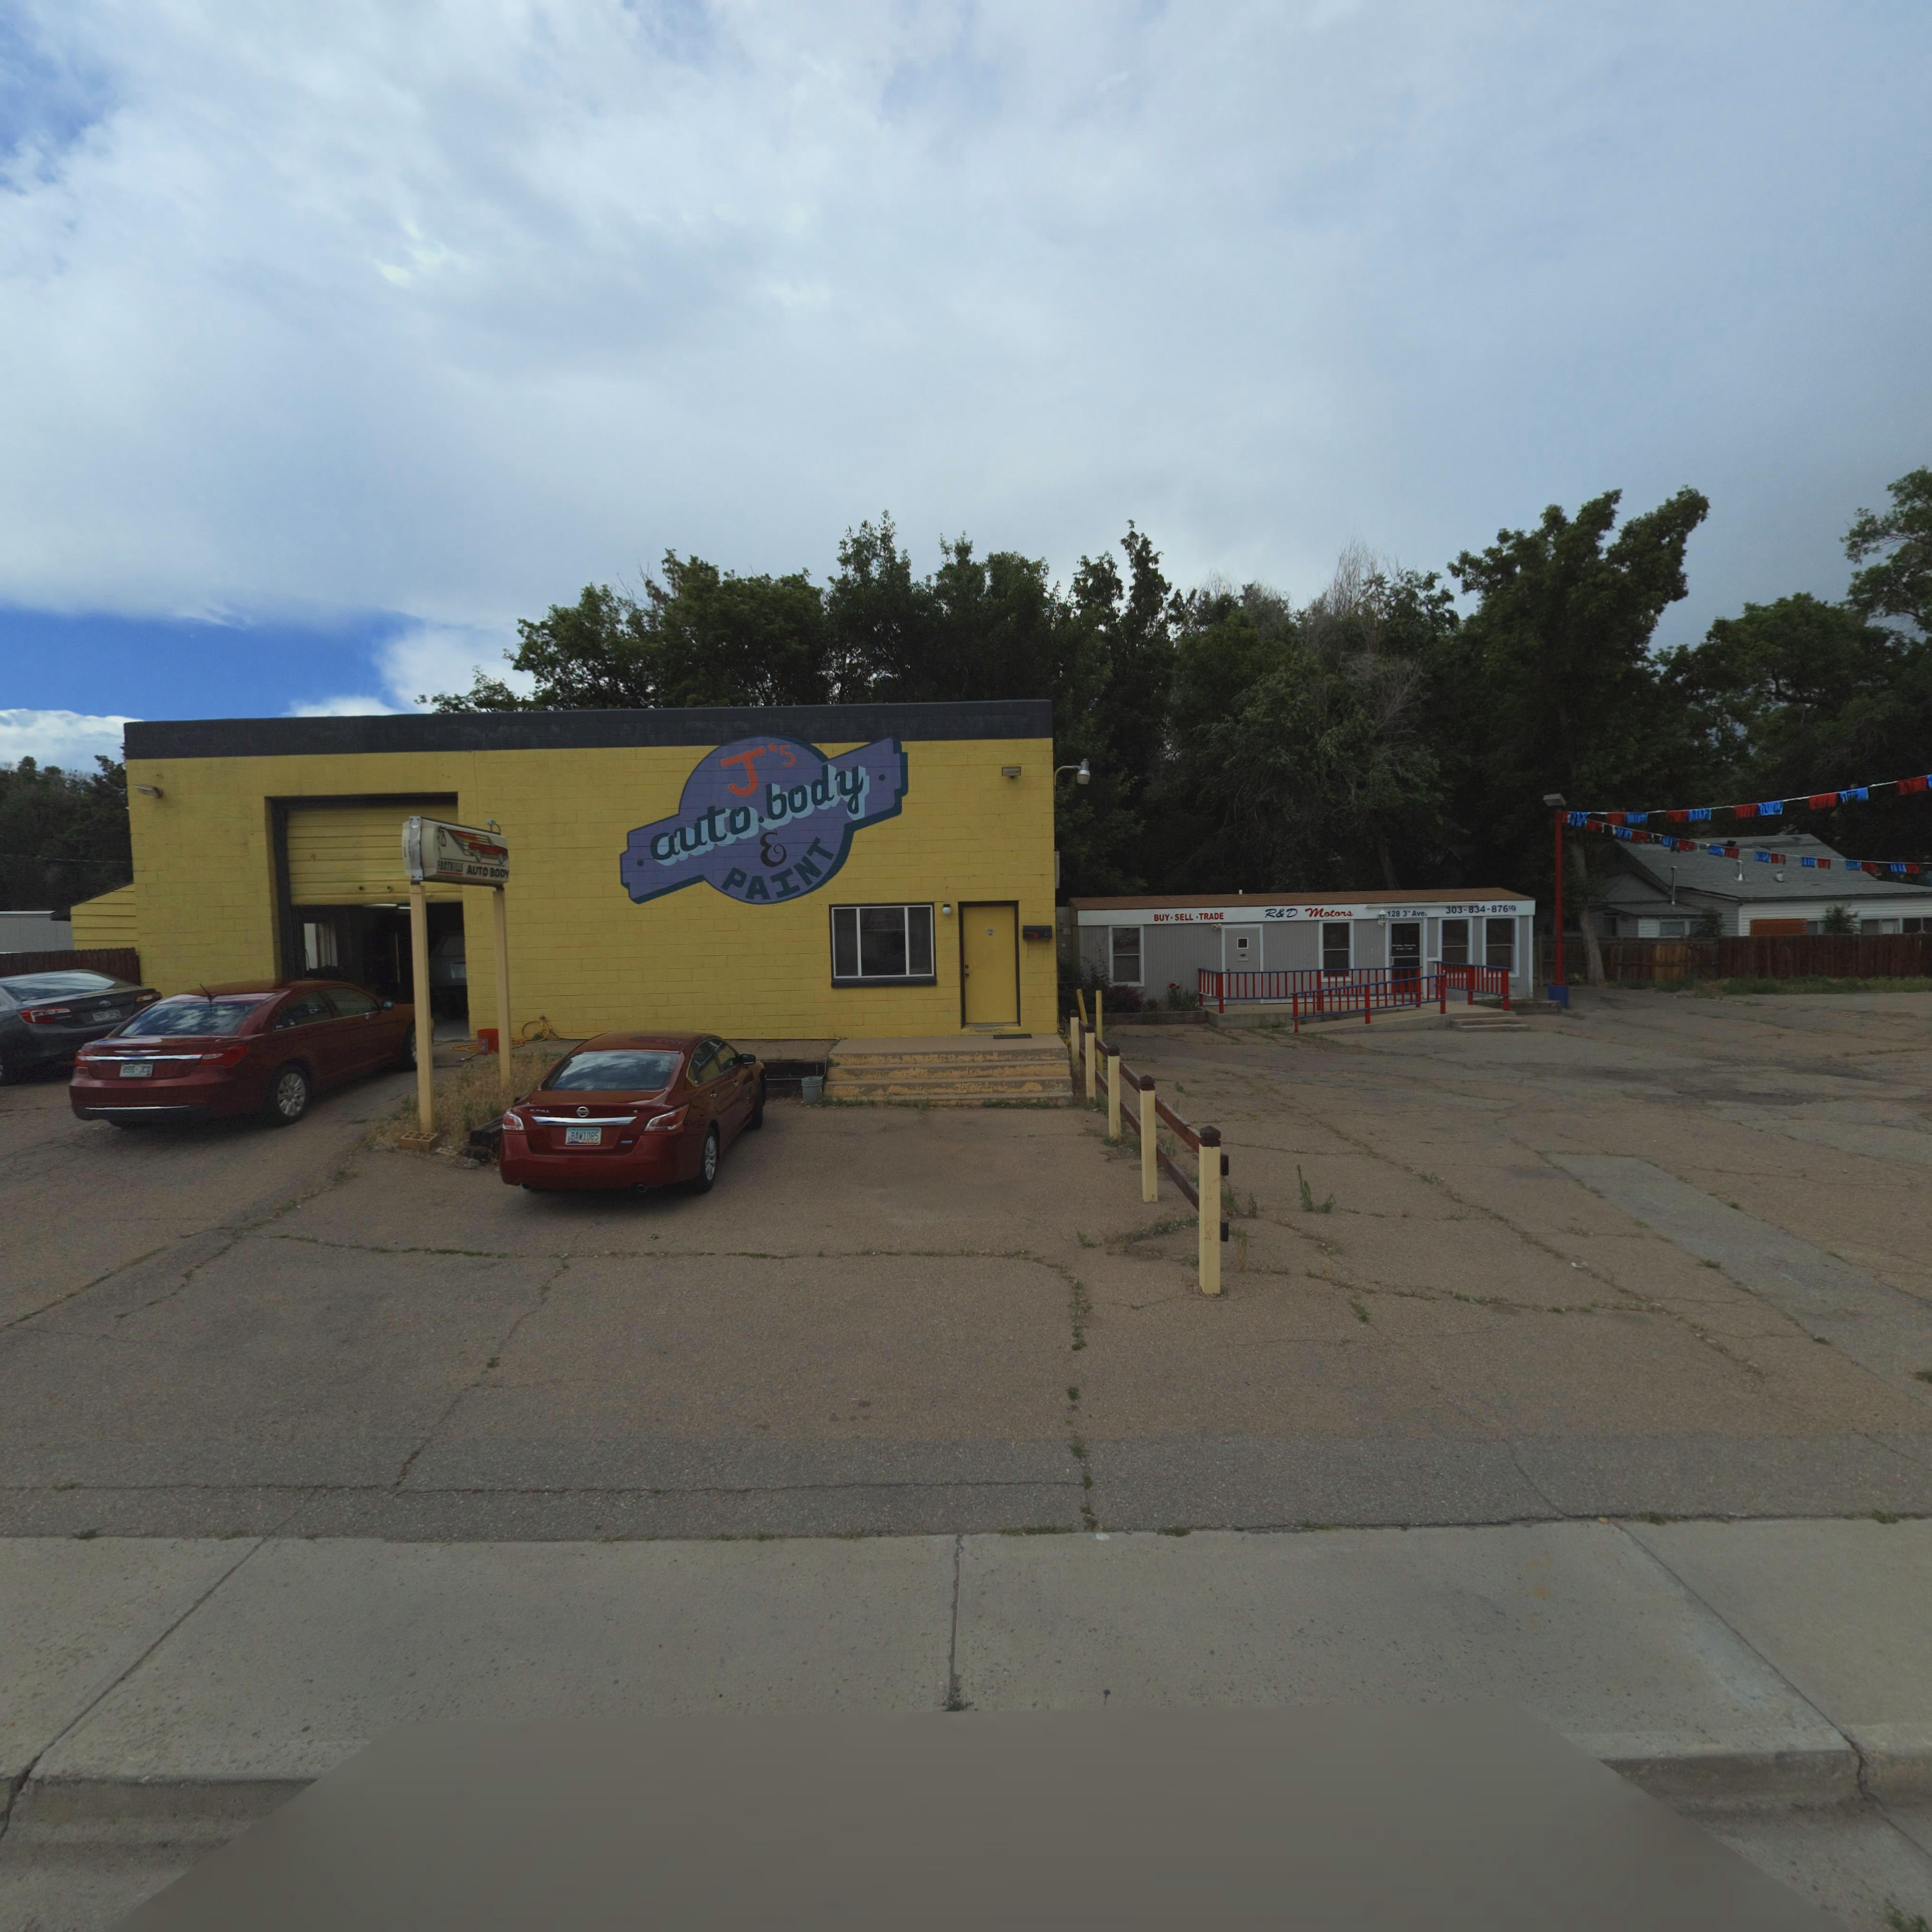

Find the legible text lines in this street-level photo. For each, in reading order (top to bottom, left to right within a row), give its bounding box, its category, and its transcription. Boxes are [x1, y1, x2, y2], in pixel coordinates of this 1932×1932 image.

[719, 743, 796, 797] BusinessName: J*s
[648, 763, 864, 861] BusinessName: auto * body
[436, 859, 464, 872] BusinessName: FOOTHILLS
[465, 864, 510, 878] BusinessName: AUTO BODY
[719, 836, 835, 902] BusinessName: PAINT
[1264, 908, 1298, 918] BusinessName: R*D
[1304, 907, 1354, 918] BusinessName: Motors
[1386, 910, 1400, 917] StreetNumber: 128
[1402, 909, 1425, 917] StreetName: 3* Ave